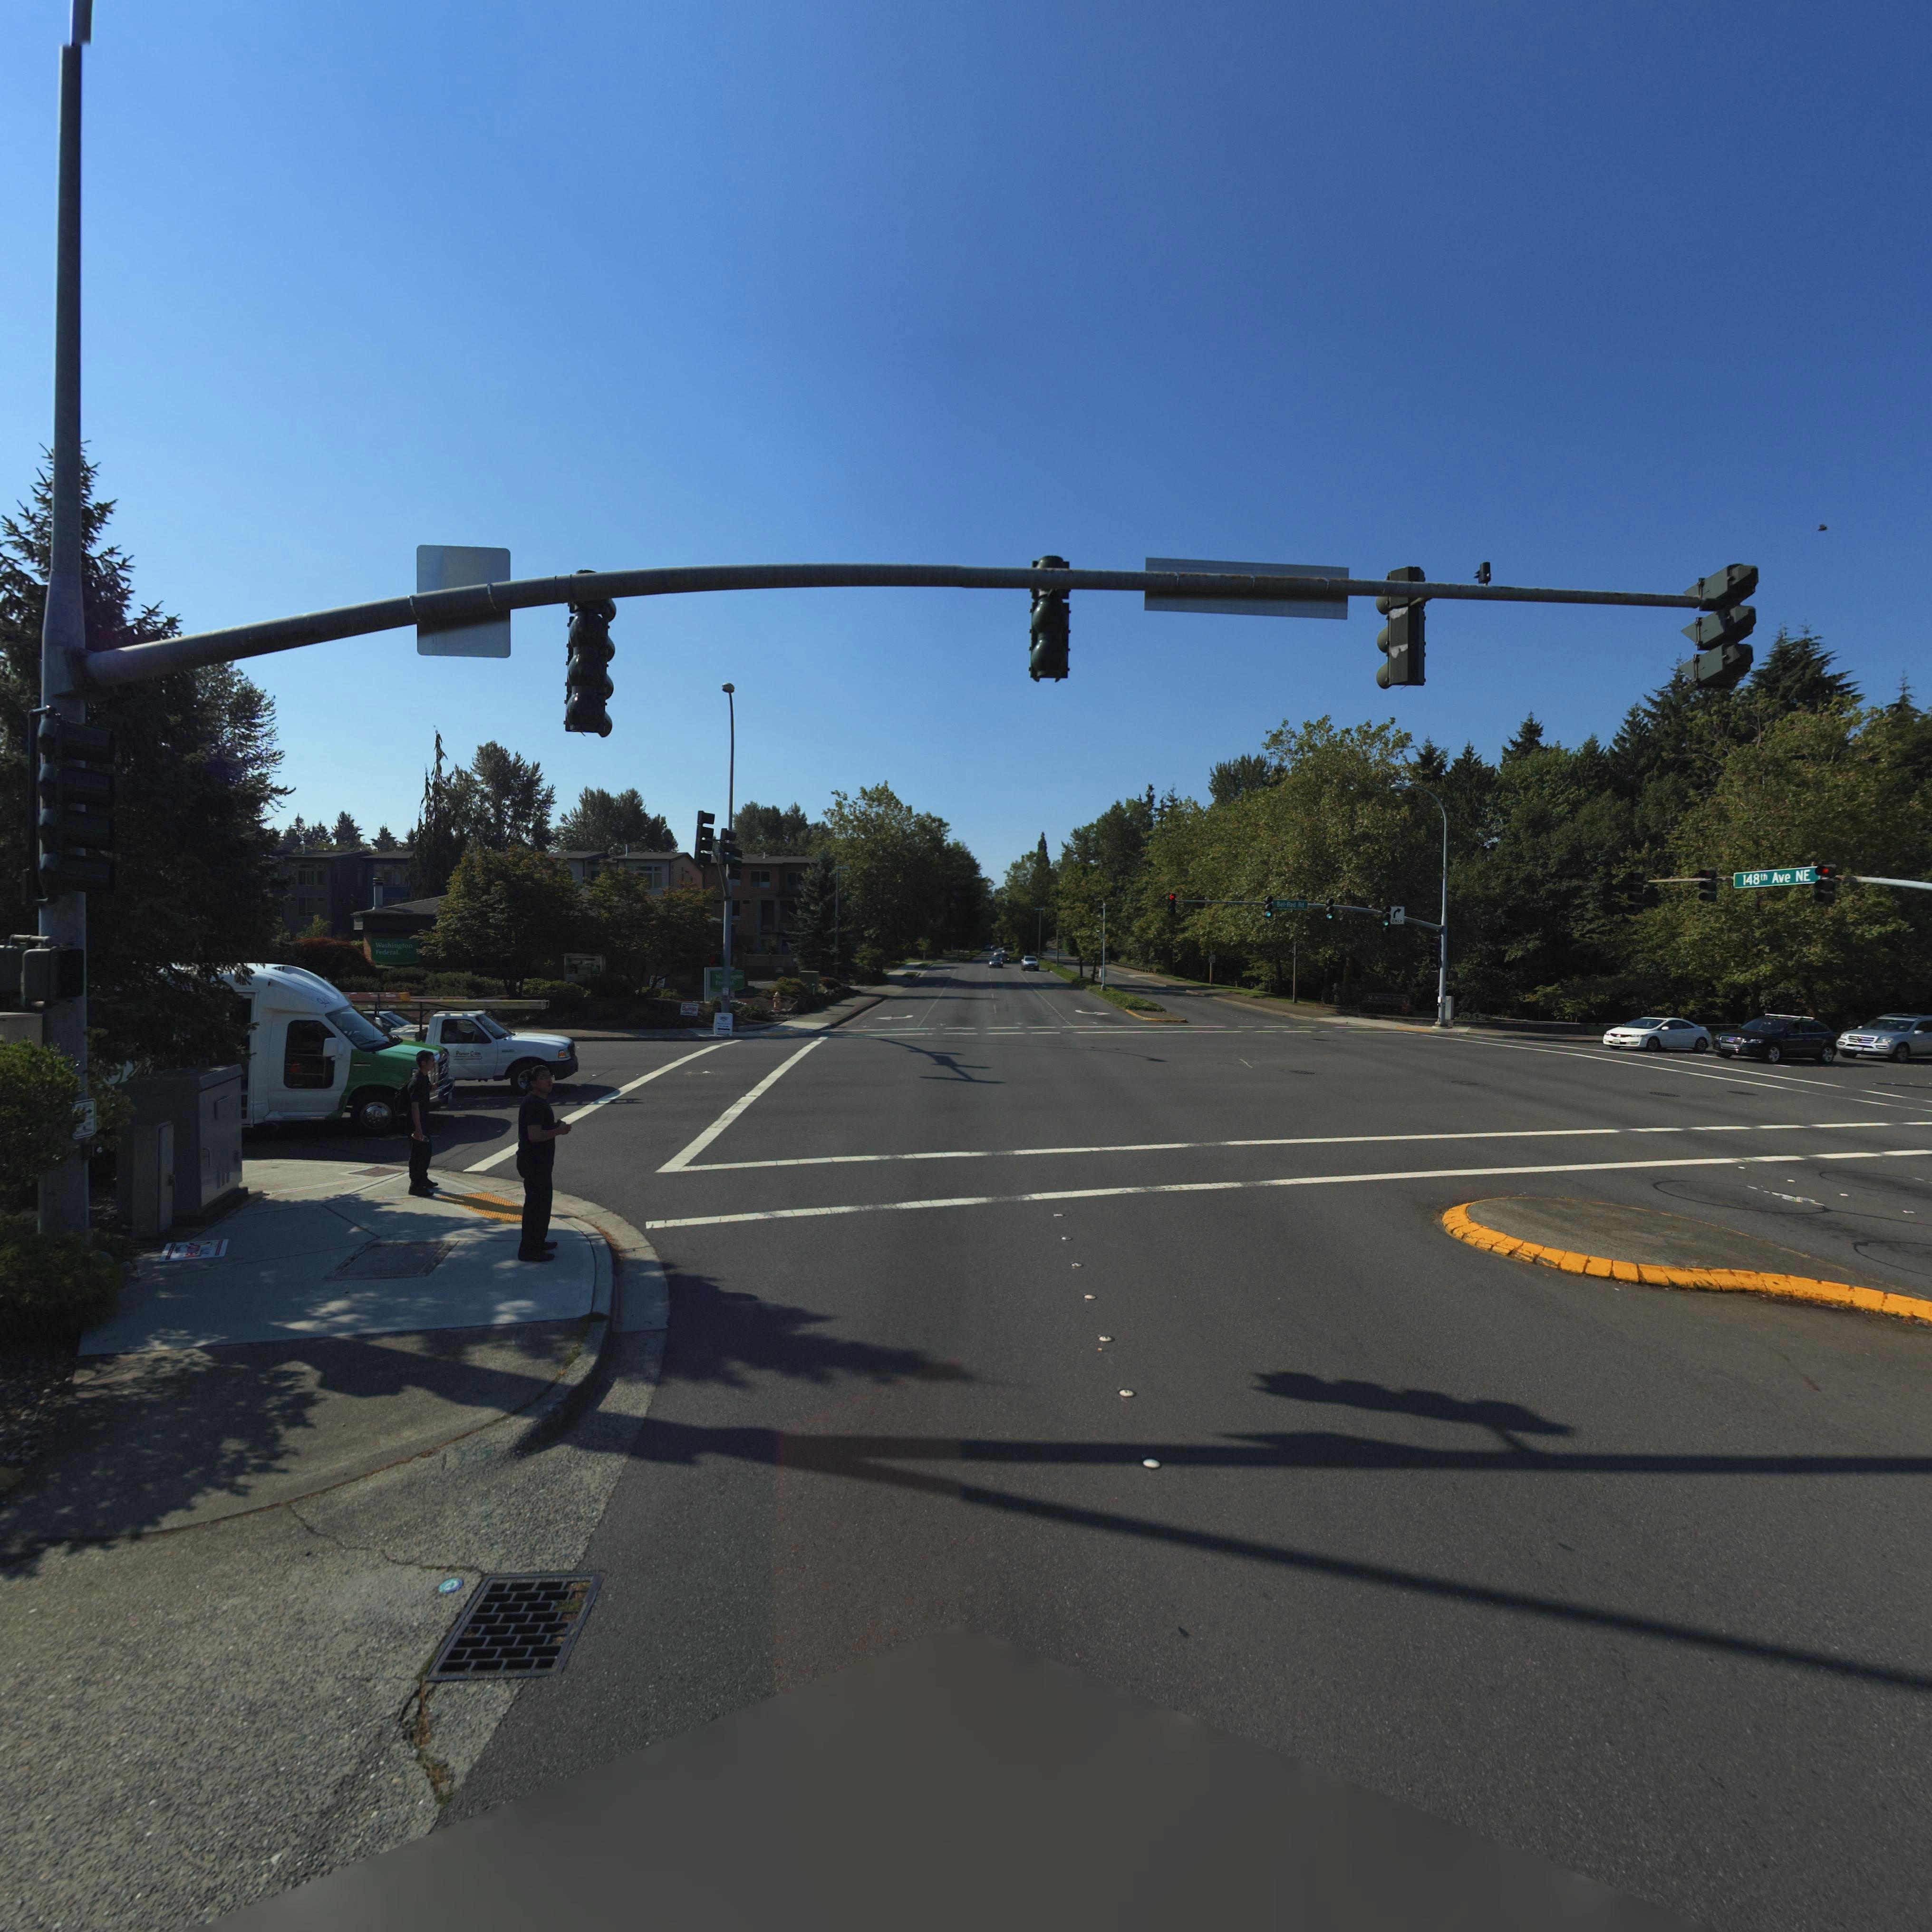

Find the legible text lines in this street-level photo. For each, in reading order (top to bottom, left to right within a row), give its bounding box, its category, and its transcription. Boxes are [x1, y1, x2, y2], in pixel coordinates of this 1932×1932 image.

[1741, 868, 1810, 886] BusinessName: 148th Ave NE
[1276, 901, 1304, 908] StreetName: Bel-Red Rd
[375, 942, 413, 950] BusinessName: Washington
[375, 949, 398, 955] BusinessName: Federal
[715, 974, 744, 980] BusinessName: W****ngton
[715, 980, 734, 985] BusinessName: Fe****l